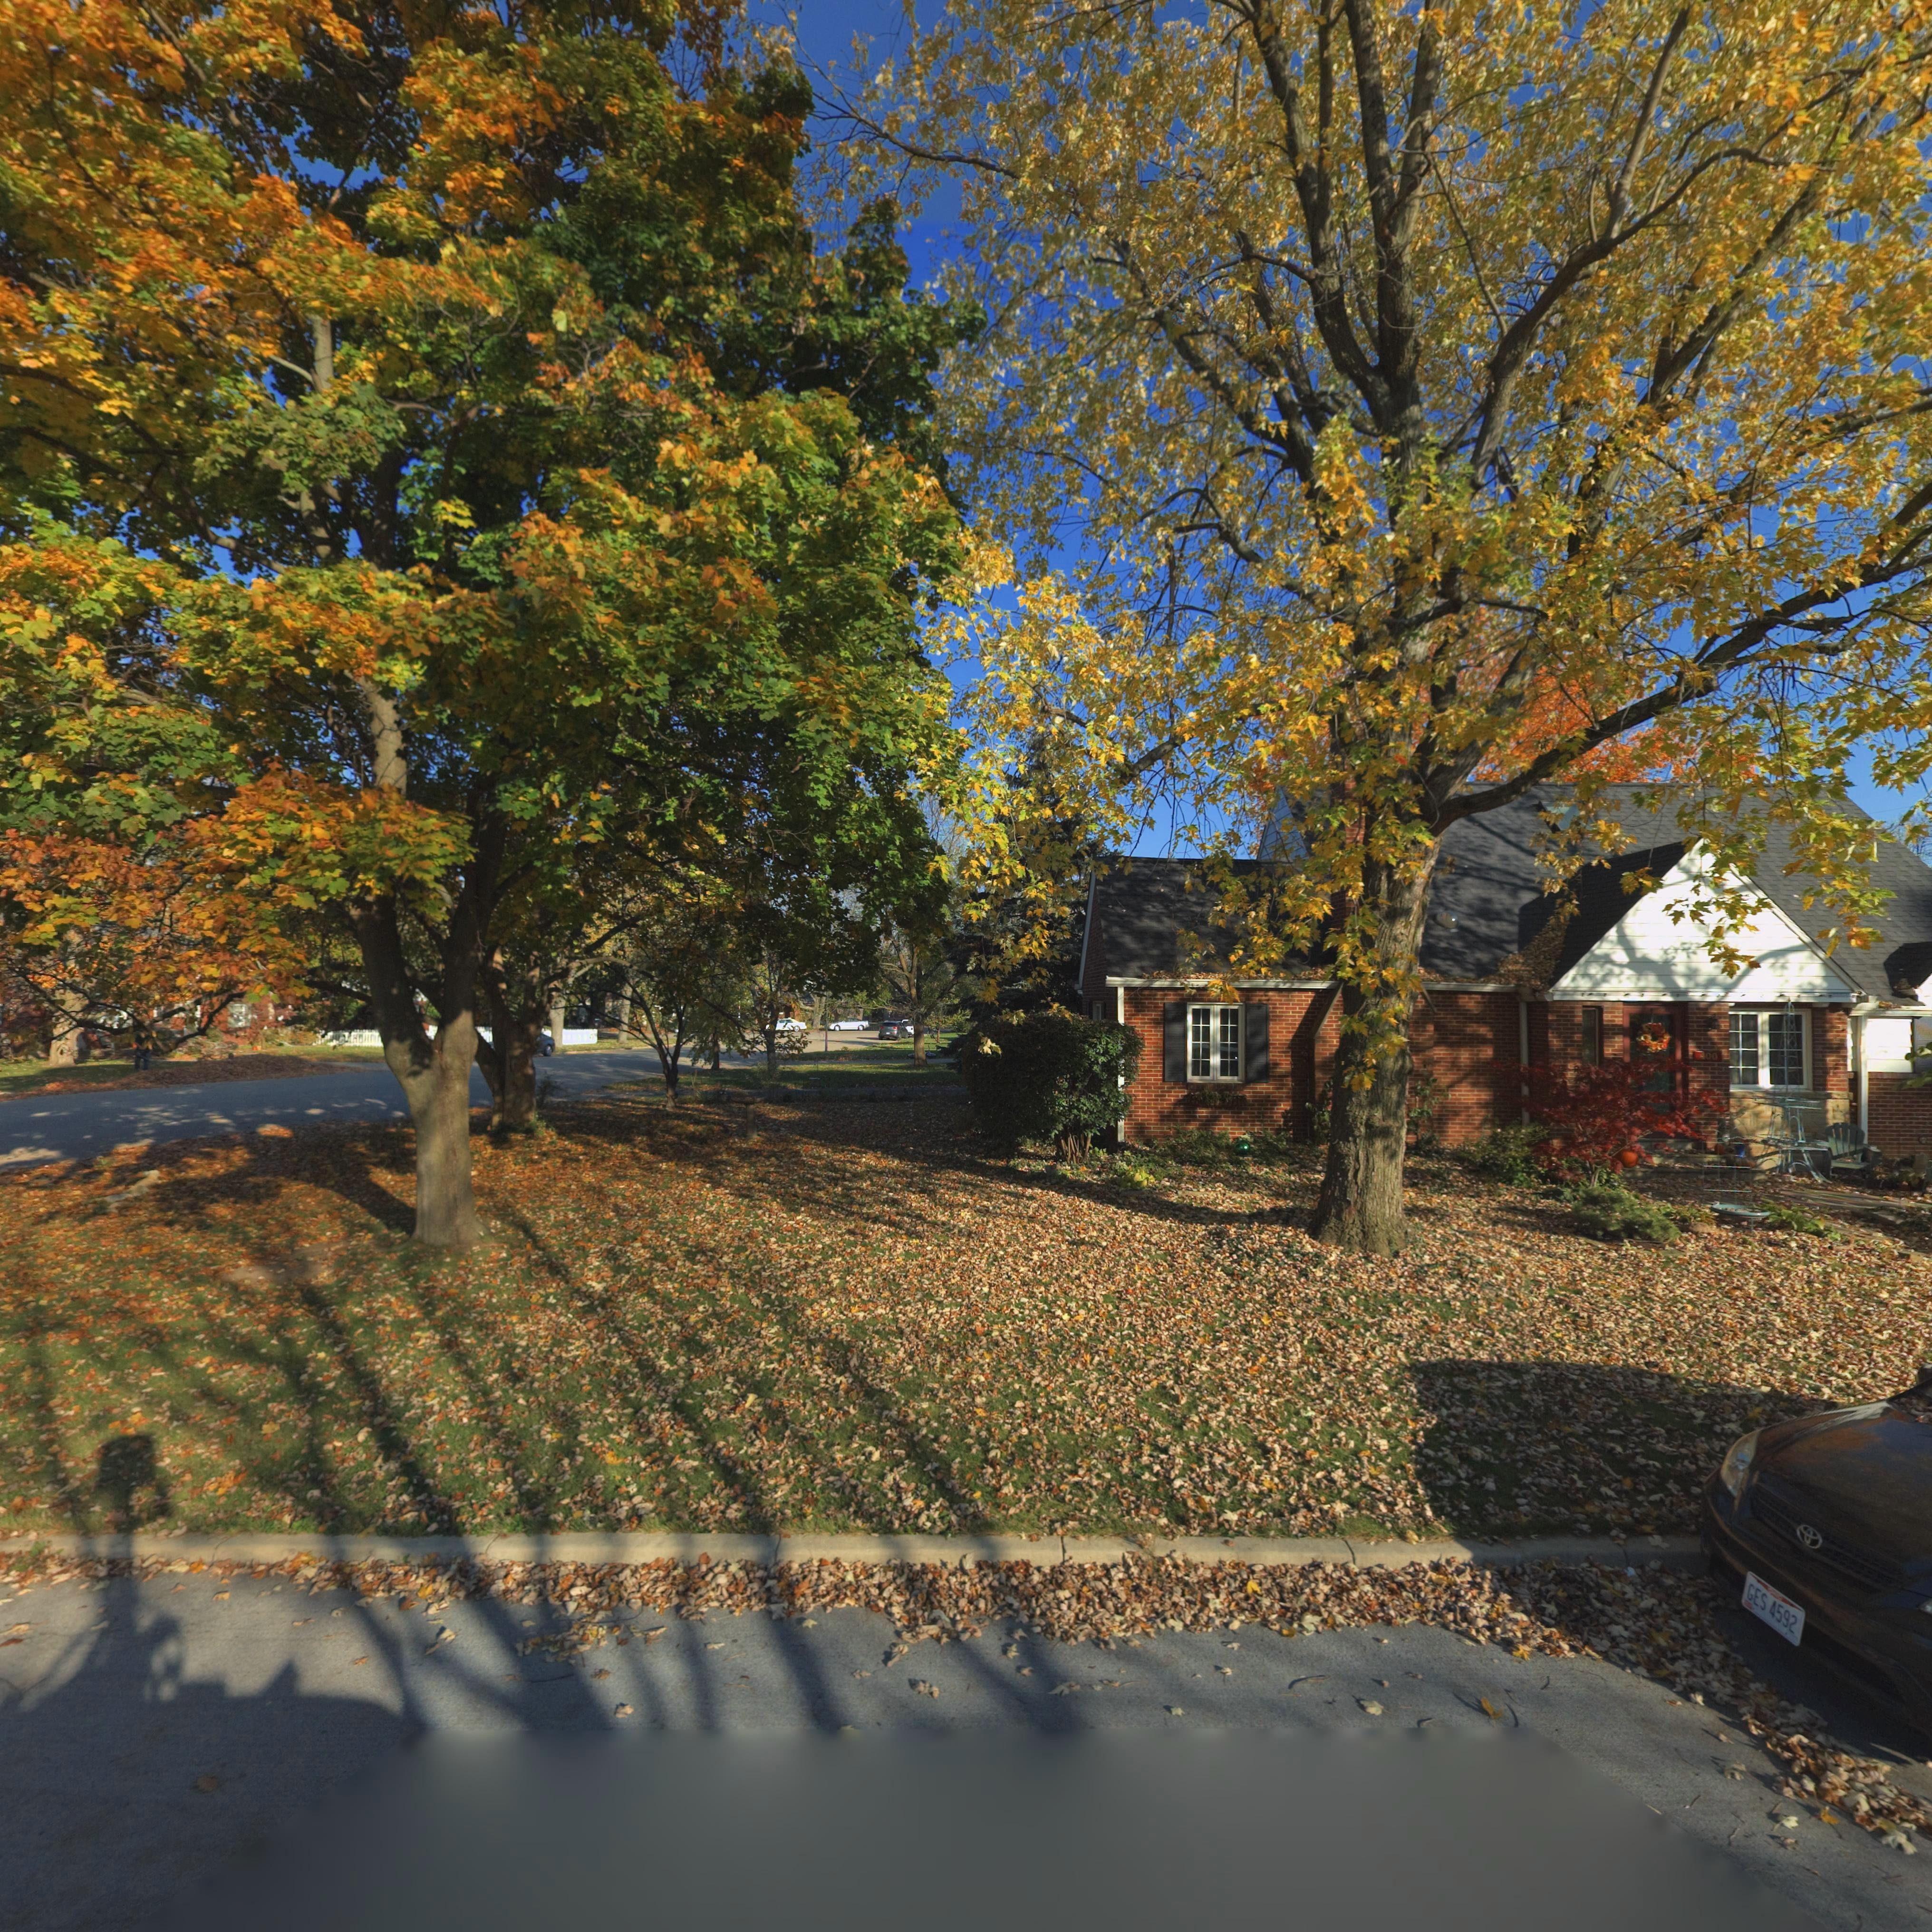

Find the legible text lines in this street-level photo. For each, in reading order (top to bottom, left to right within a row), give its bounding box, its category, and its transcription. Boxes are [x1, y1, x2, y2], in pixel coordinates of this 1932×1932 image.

[1699, 1051, 1718, 1060] StreetNumber: 400